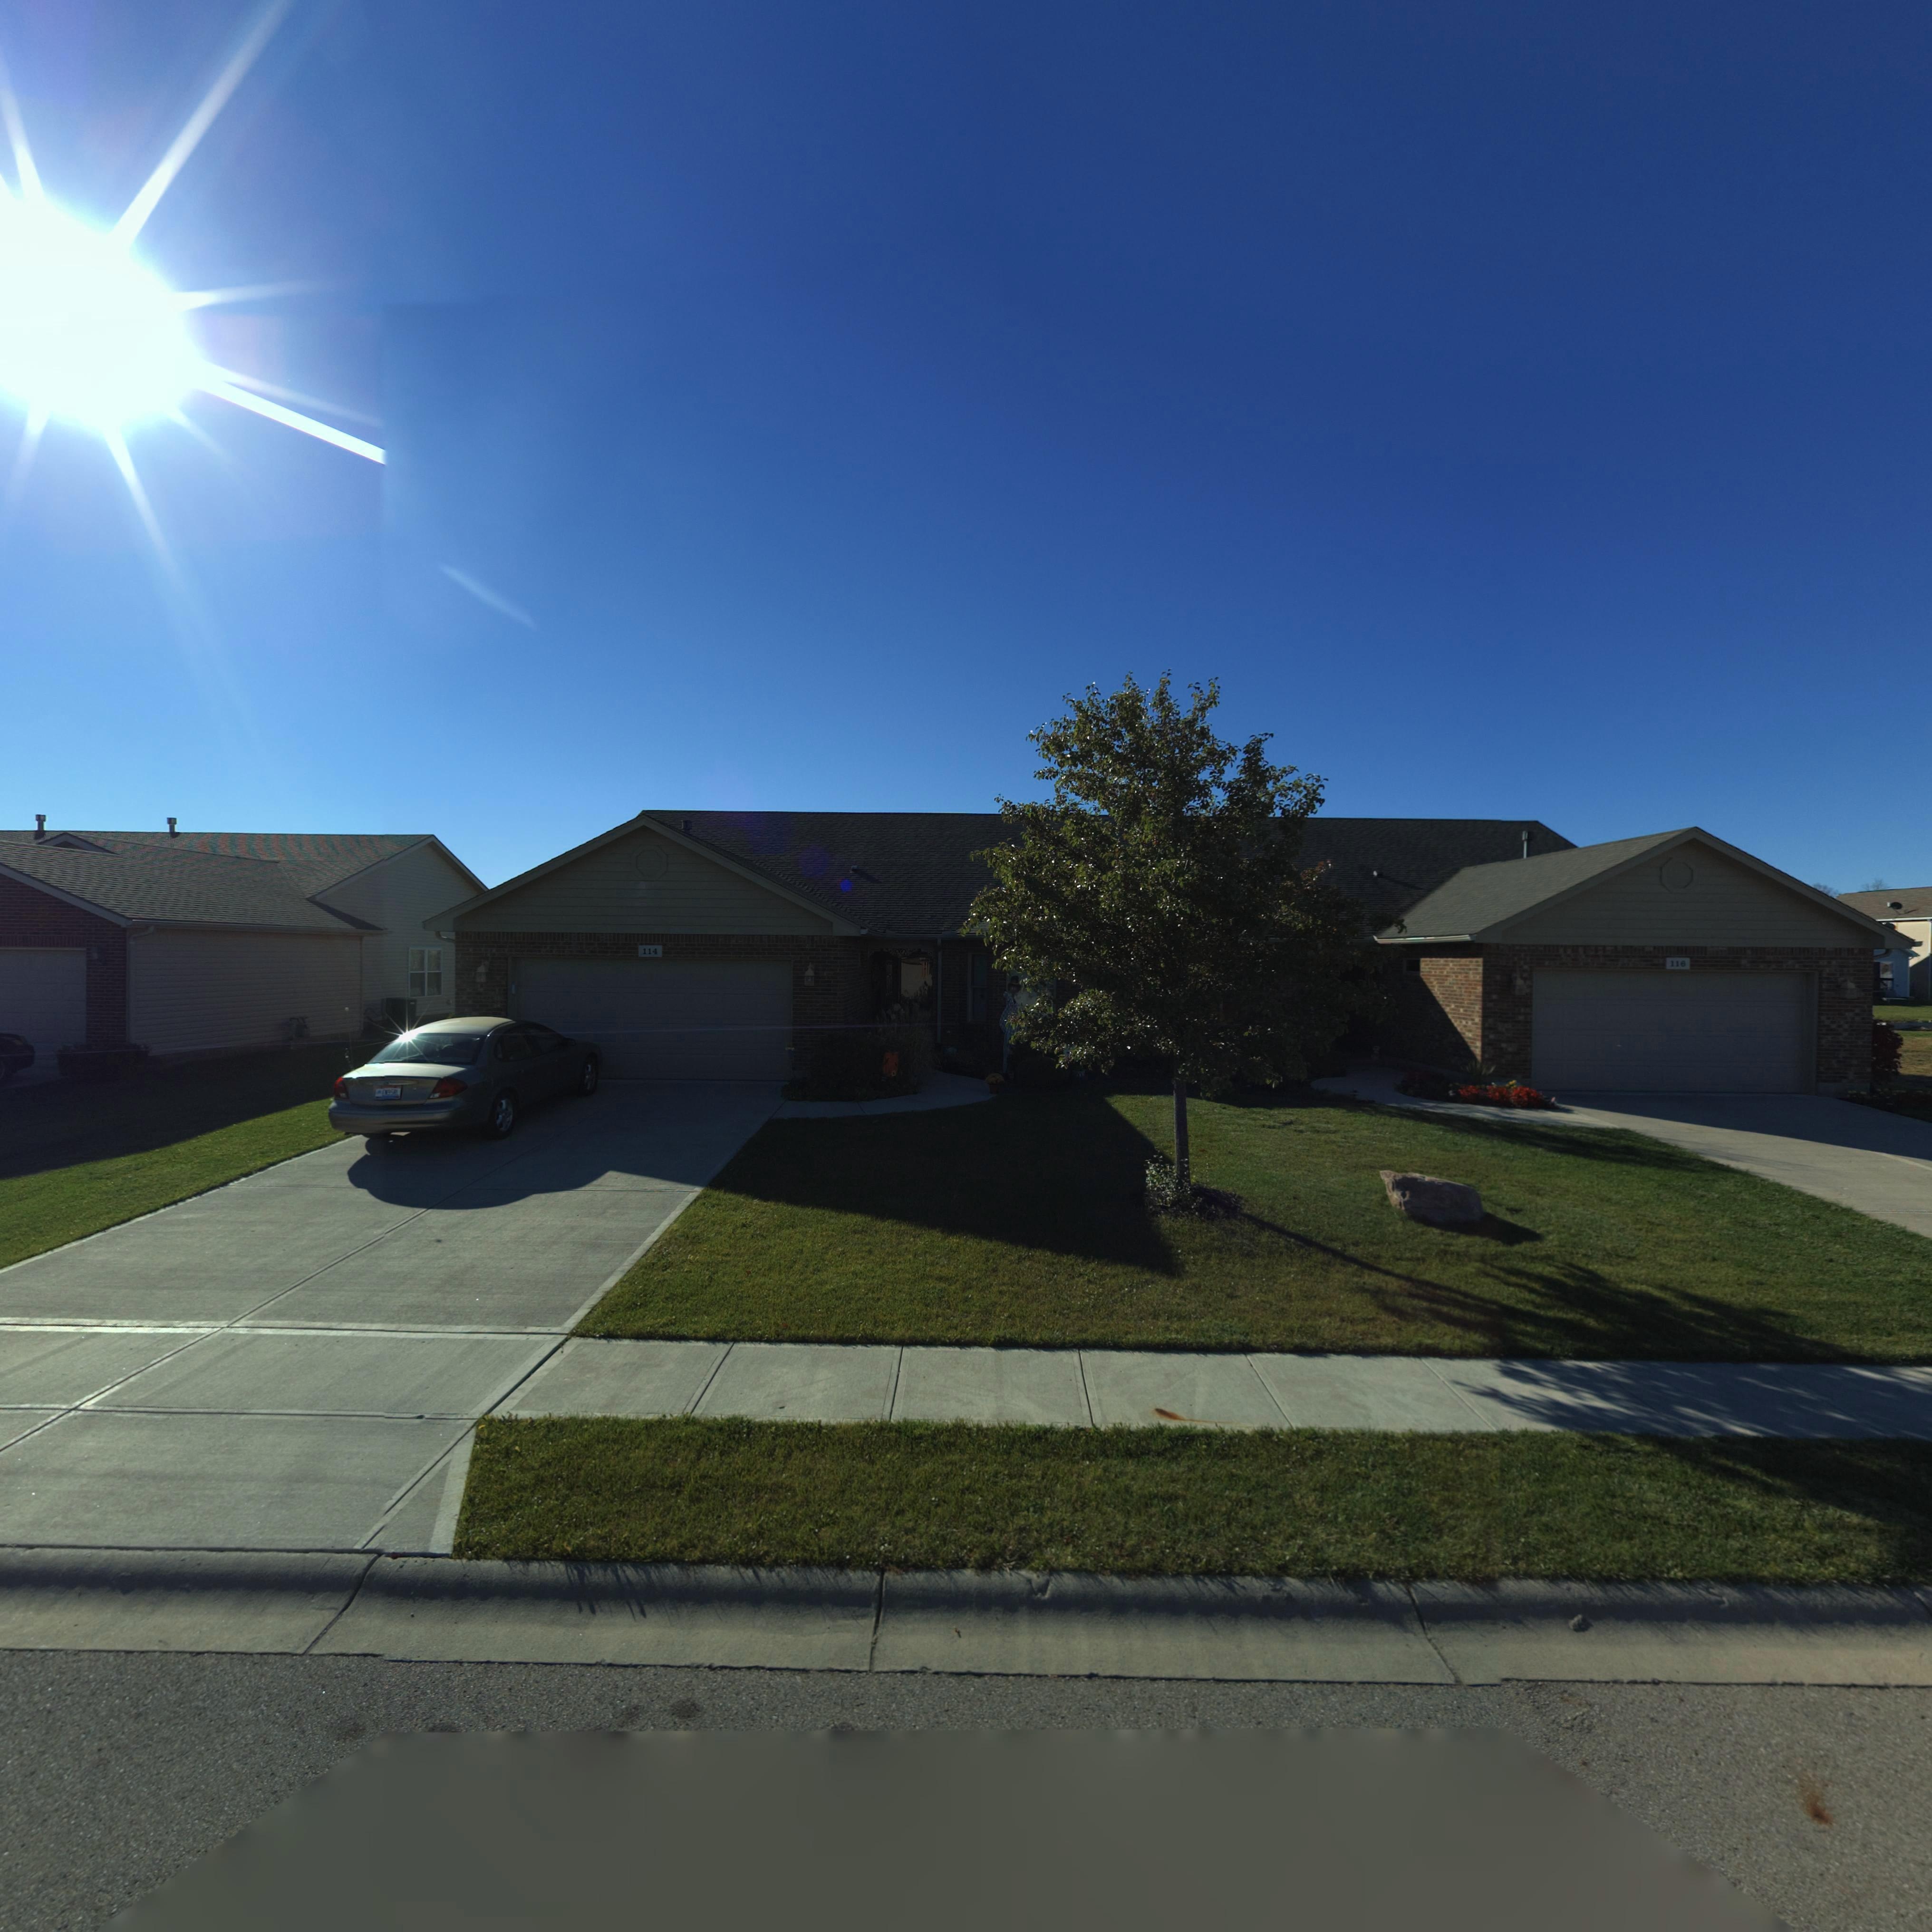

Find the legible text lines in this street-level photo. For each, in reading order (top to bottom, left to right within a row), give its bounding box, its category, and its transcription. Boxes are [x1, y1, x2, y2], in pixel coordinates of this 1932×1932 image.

[642, 947, 658, 955] StreetNumber: 114
[1670, 959, 1687, 968] StreetNumber: 116